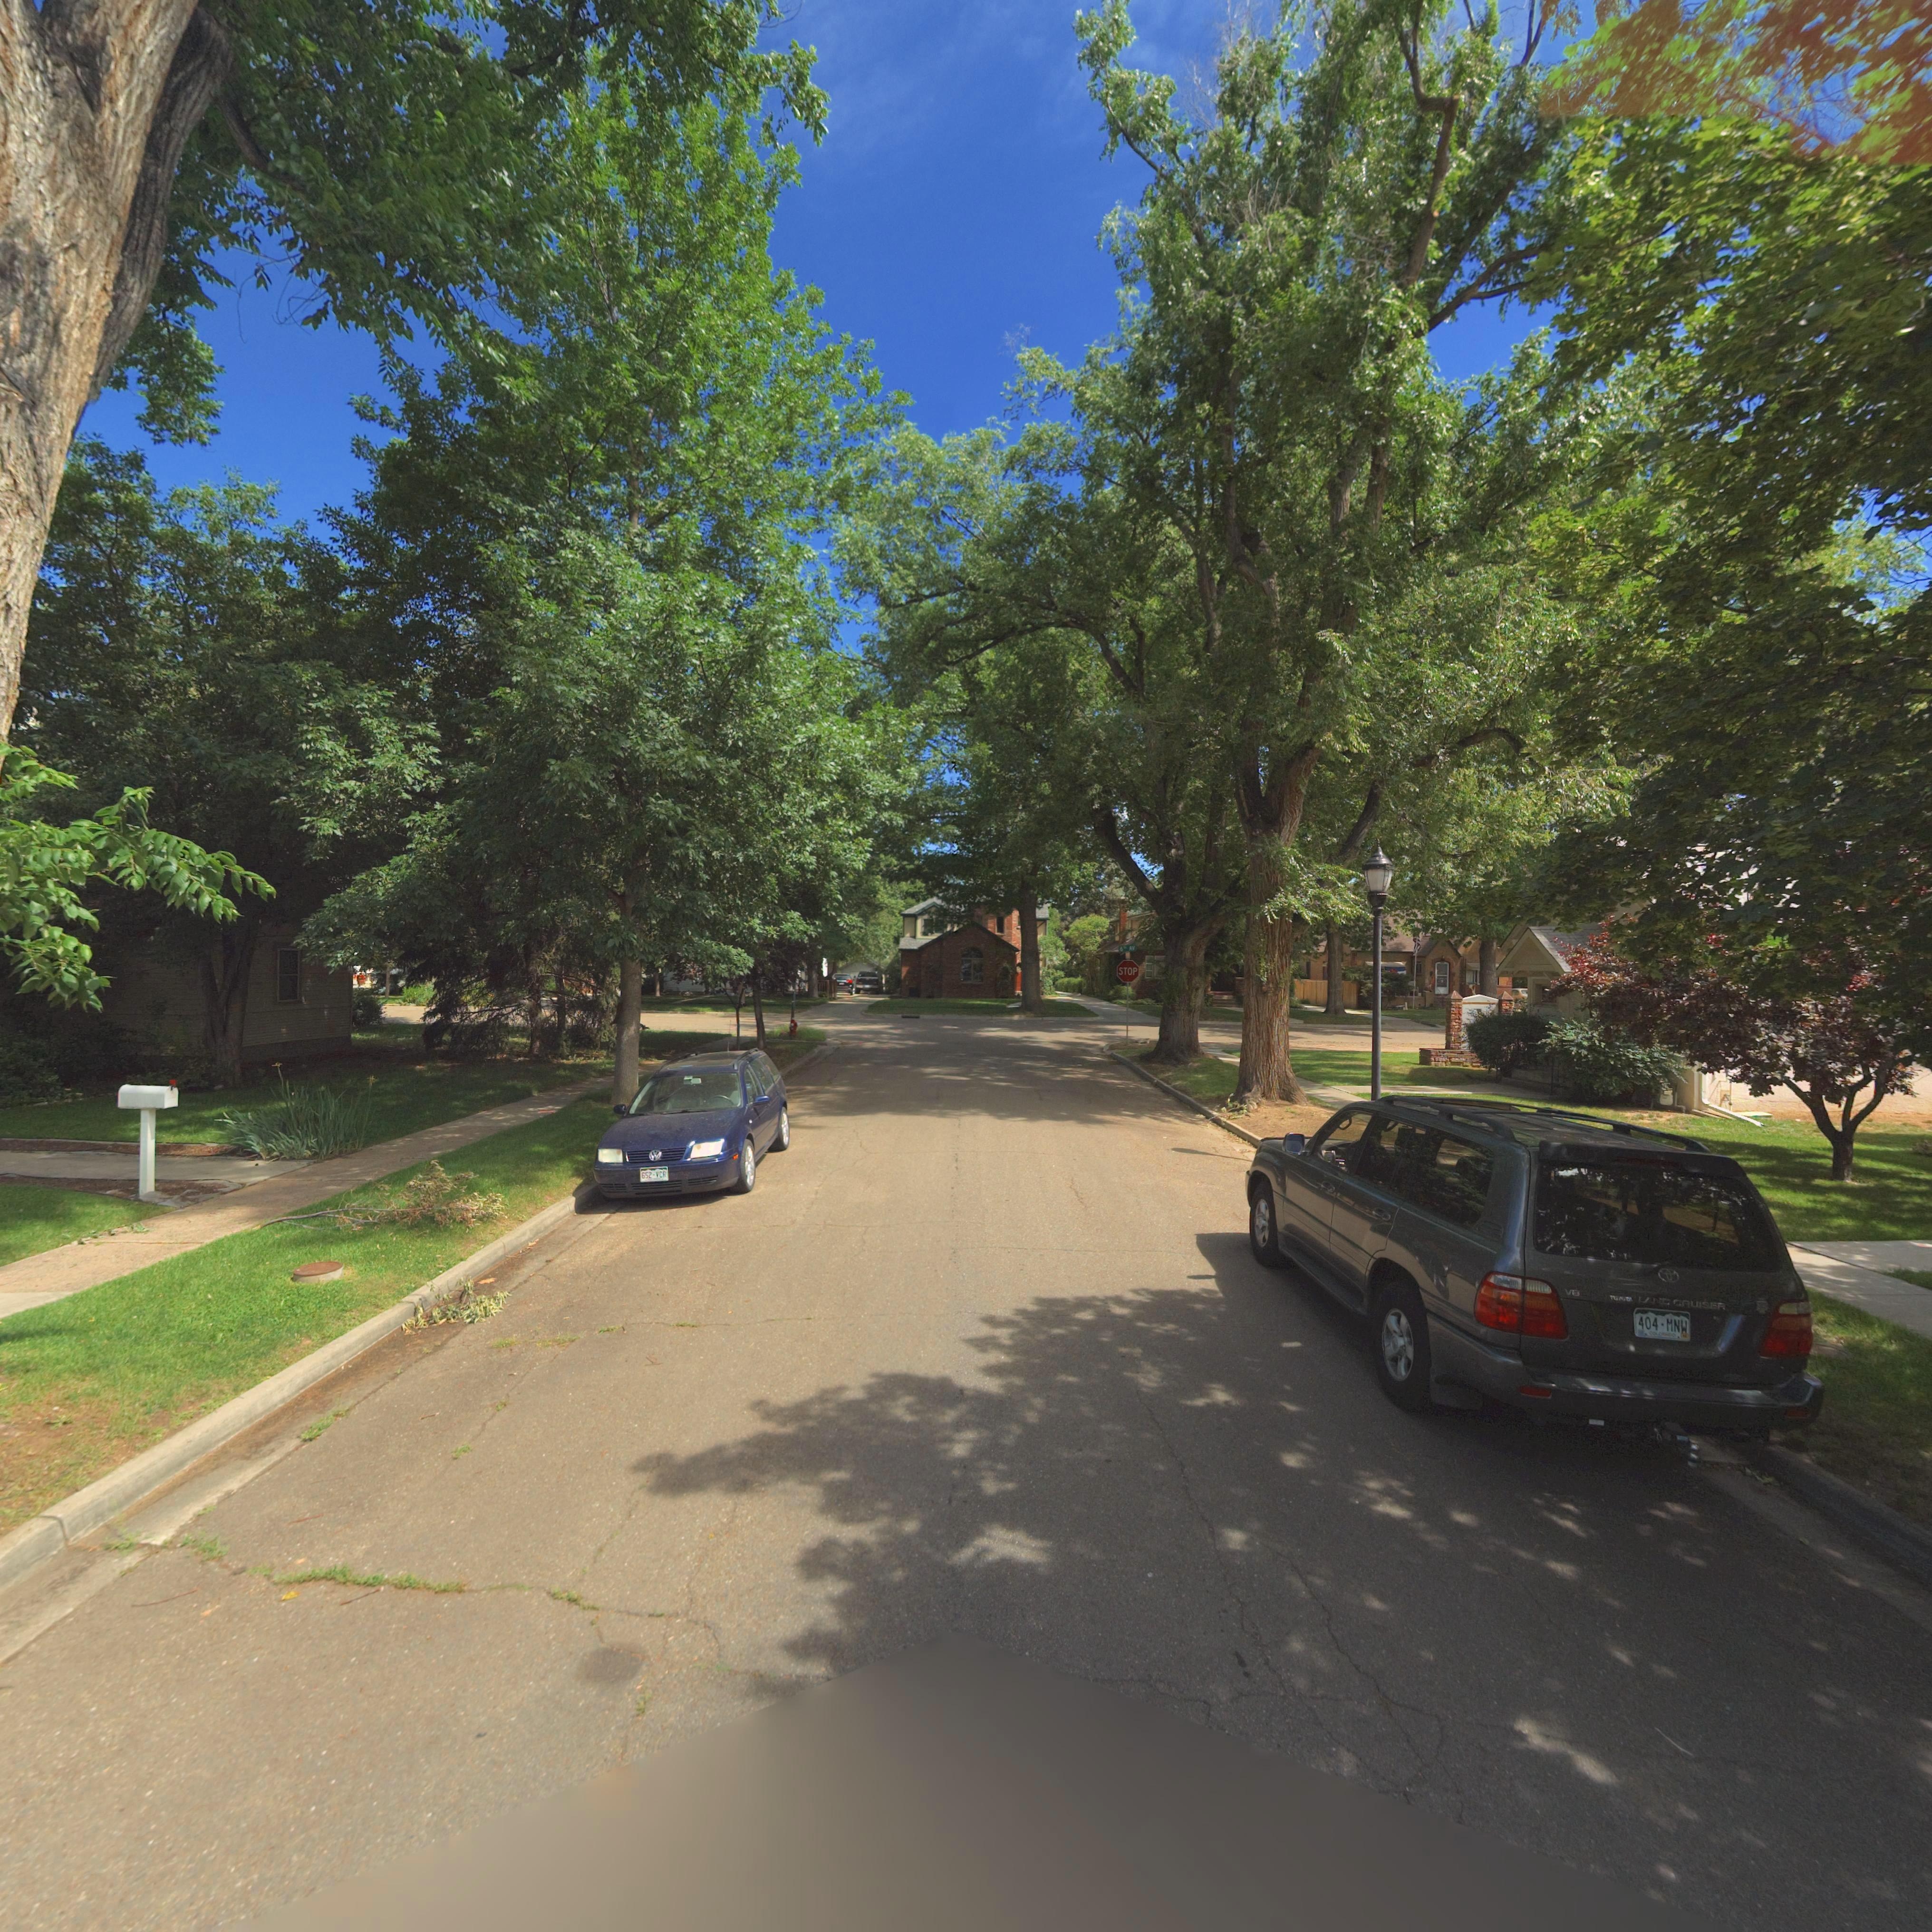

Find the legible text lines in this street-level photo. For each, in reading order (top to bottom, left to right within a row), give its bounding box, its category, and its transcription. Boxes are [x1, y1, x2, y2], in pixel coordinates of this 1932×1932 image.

[1120, 945, 1135, 951] StreetName: 6** AV